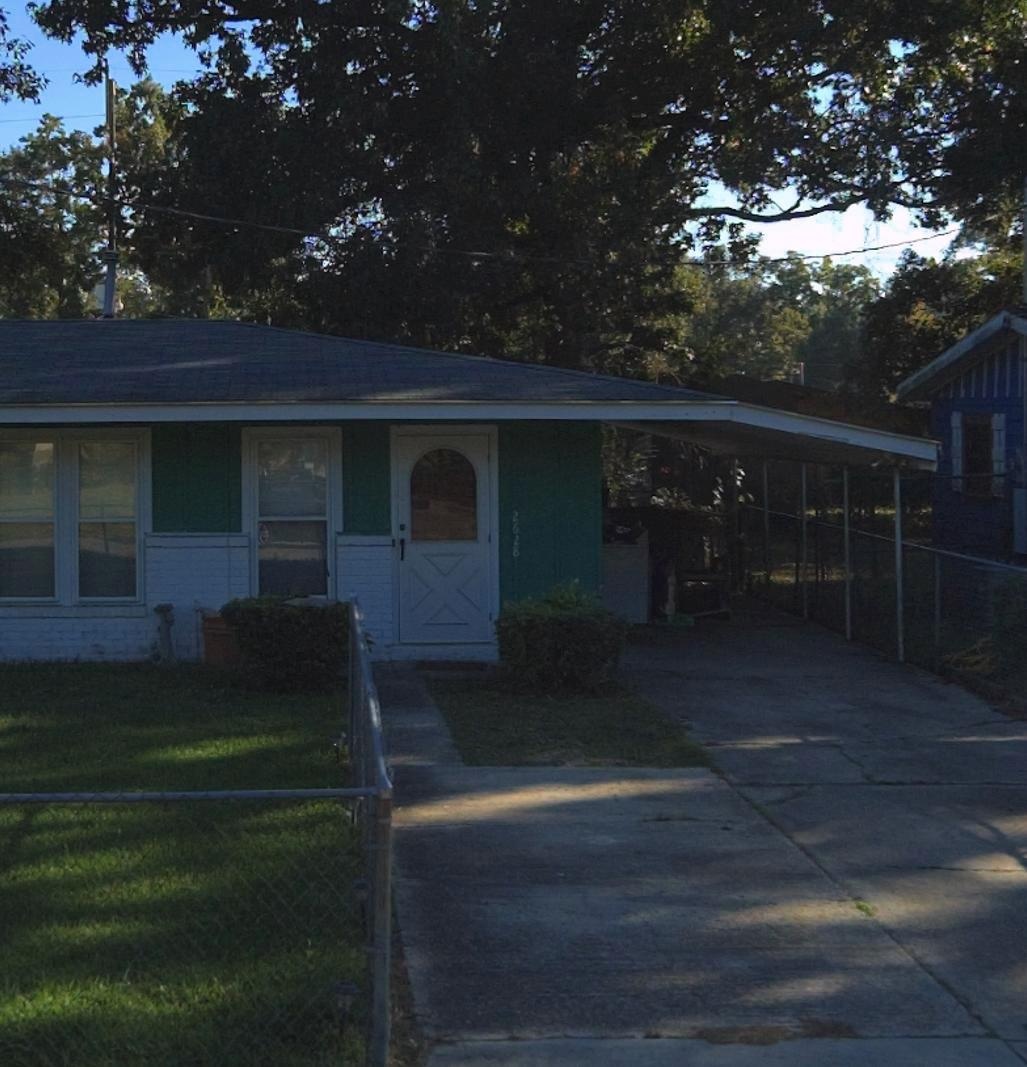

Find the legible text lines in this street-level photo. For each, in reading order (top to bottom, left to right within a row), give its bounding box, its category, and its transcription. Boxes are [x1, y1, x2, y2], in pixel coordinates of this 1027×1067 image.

[511, 510, 521, 558] StreetNumber: 2628